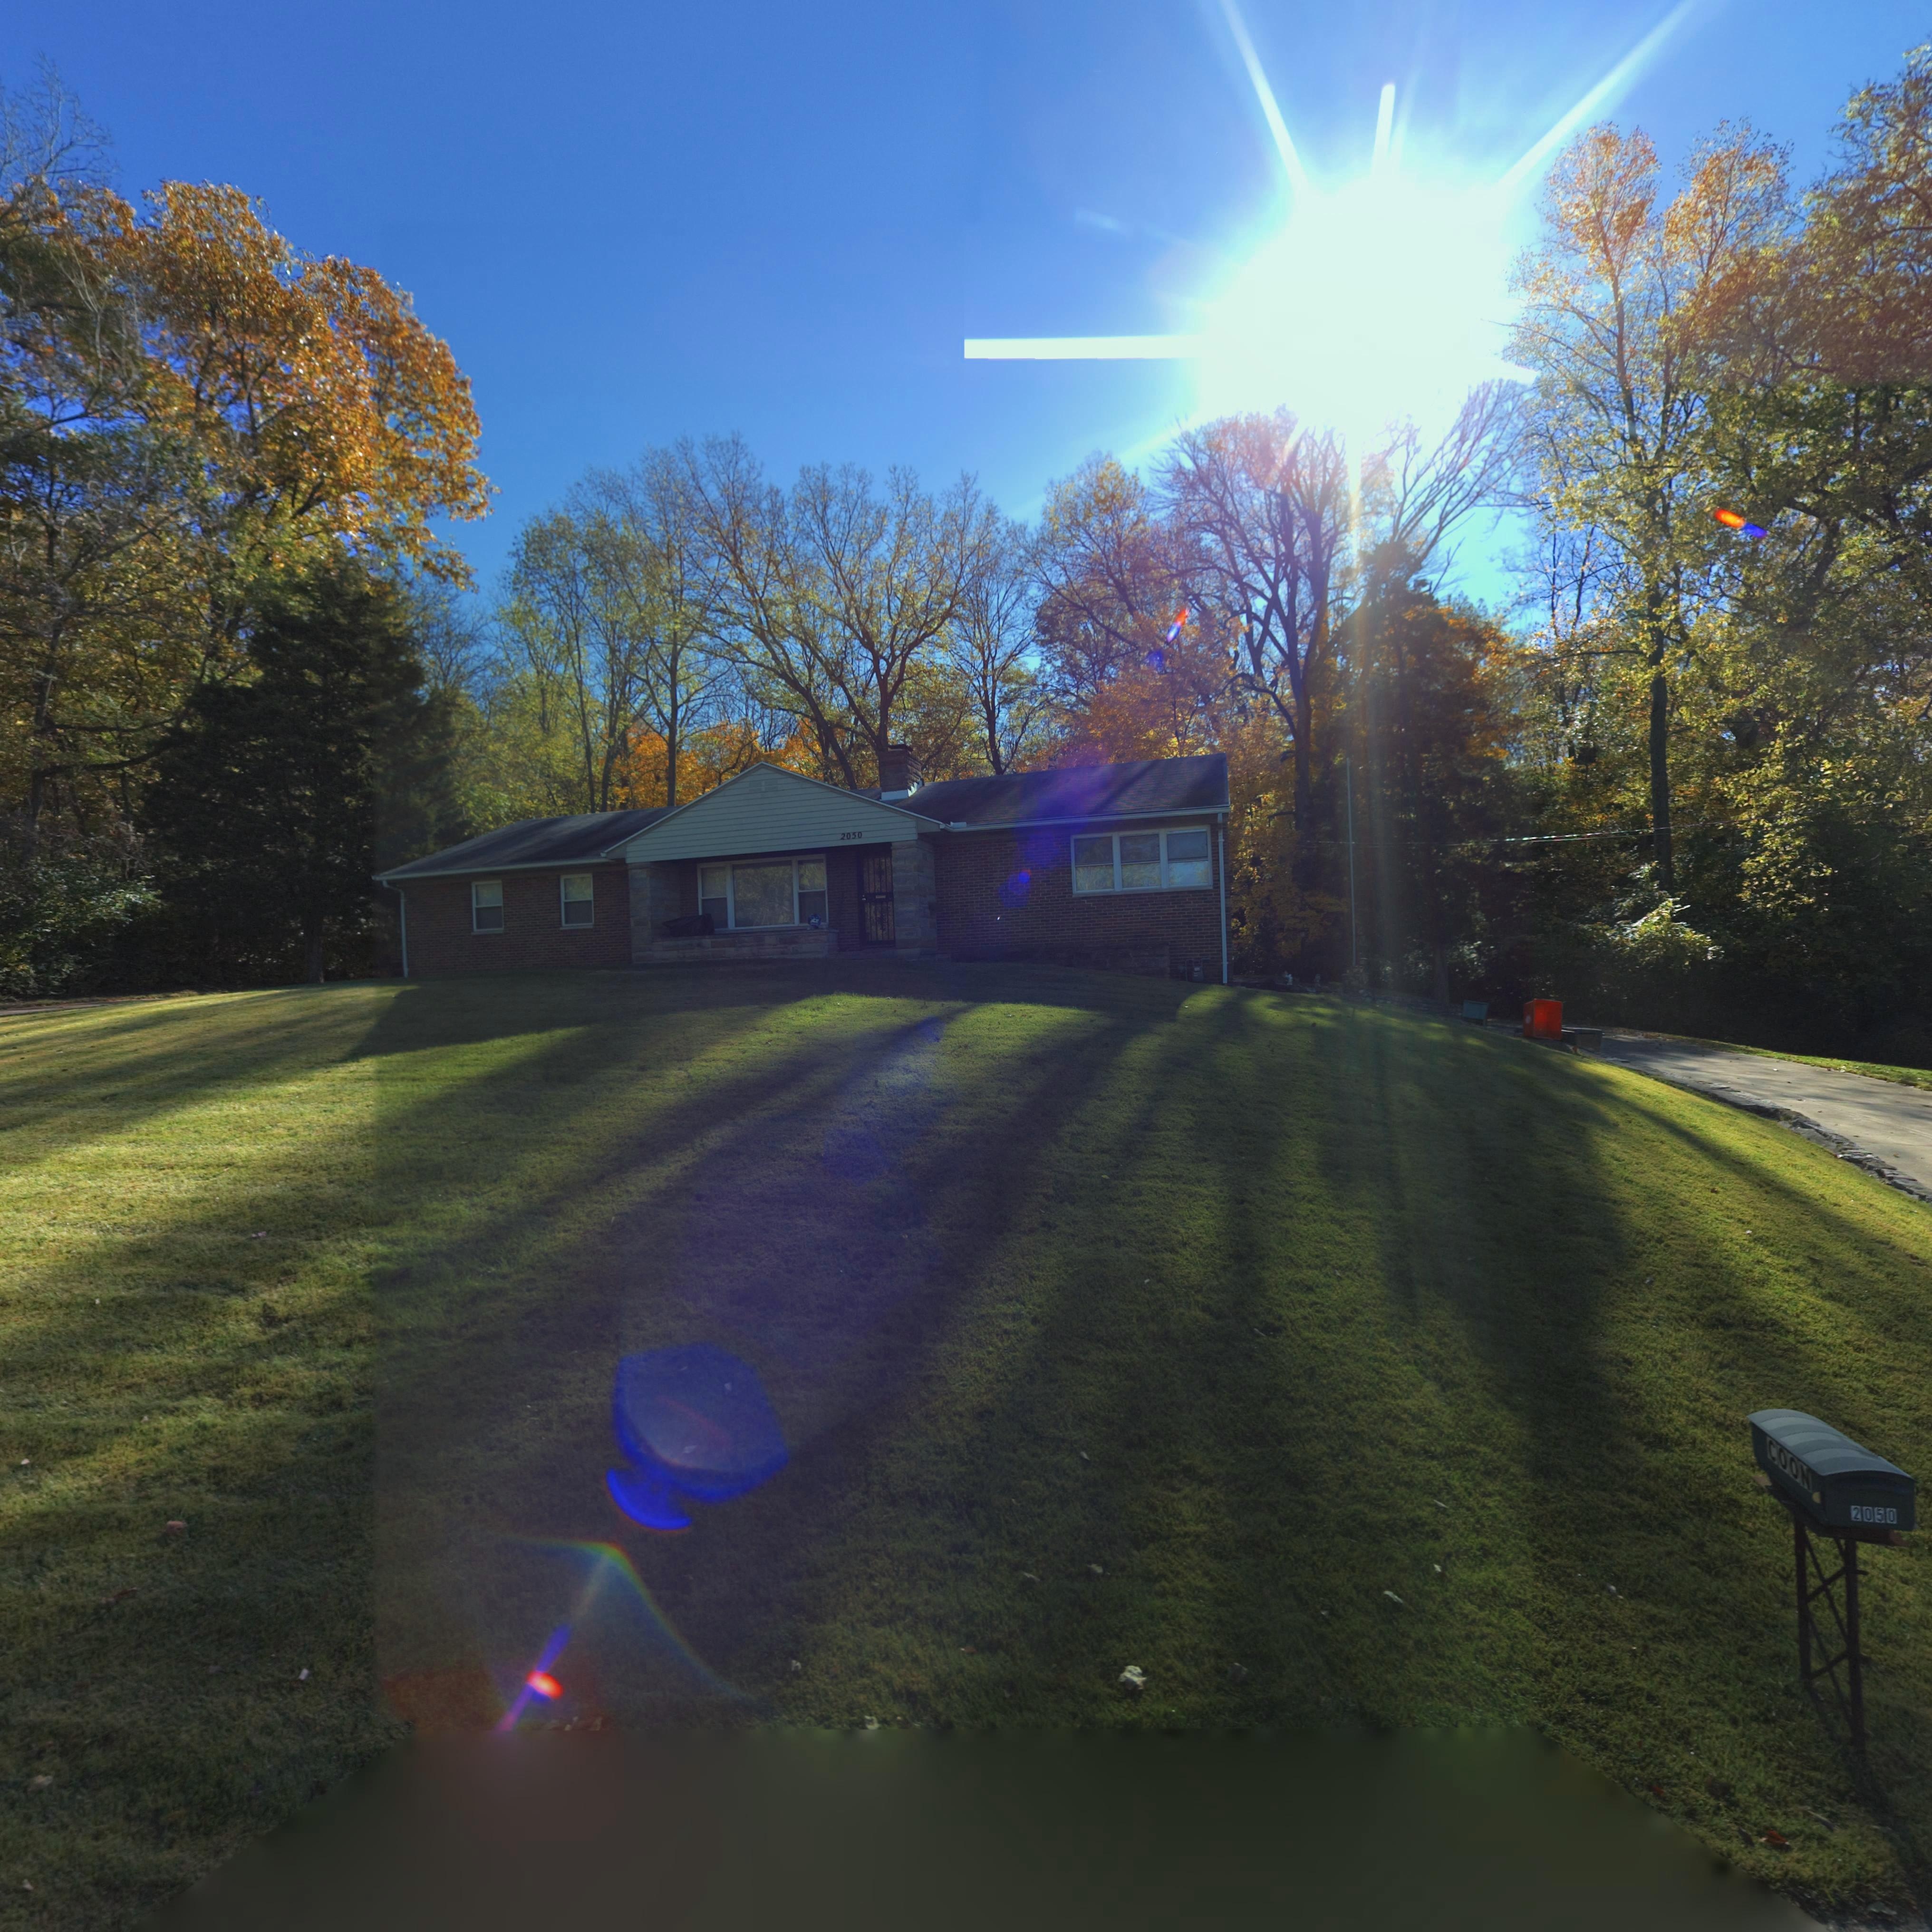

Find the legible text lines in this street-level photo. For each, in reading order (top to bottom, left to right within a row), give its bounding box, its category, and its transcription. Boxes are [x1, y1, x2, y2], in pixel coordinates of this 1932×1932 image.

[840, 831, 862, 840] StreetNumber: 2050
[1851, 1505, 1896, 1524] StreetNumber: 2050